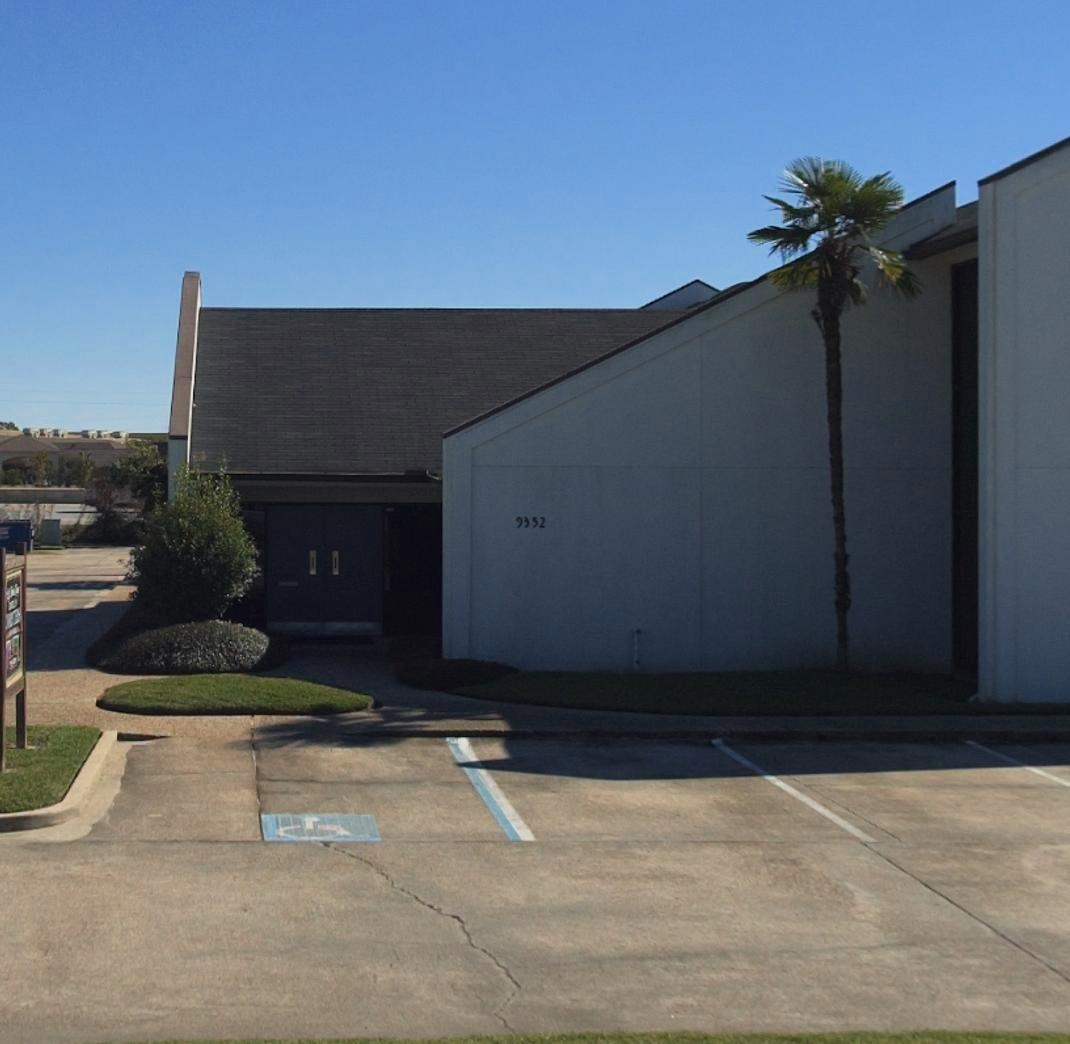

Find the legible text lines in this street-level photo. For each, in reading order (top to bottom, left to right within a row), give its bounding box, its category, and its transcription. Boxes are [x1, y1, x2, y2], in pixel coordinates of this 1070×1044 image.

[515, 515, 547, 529] StreetNumber: 9352